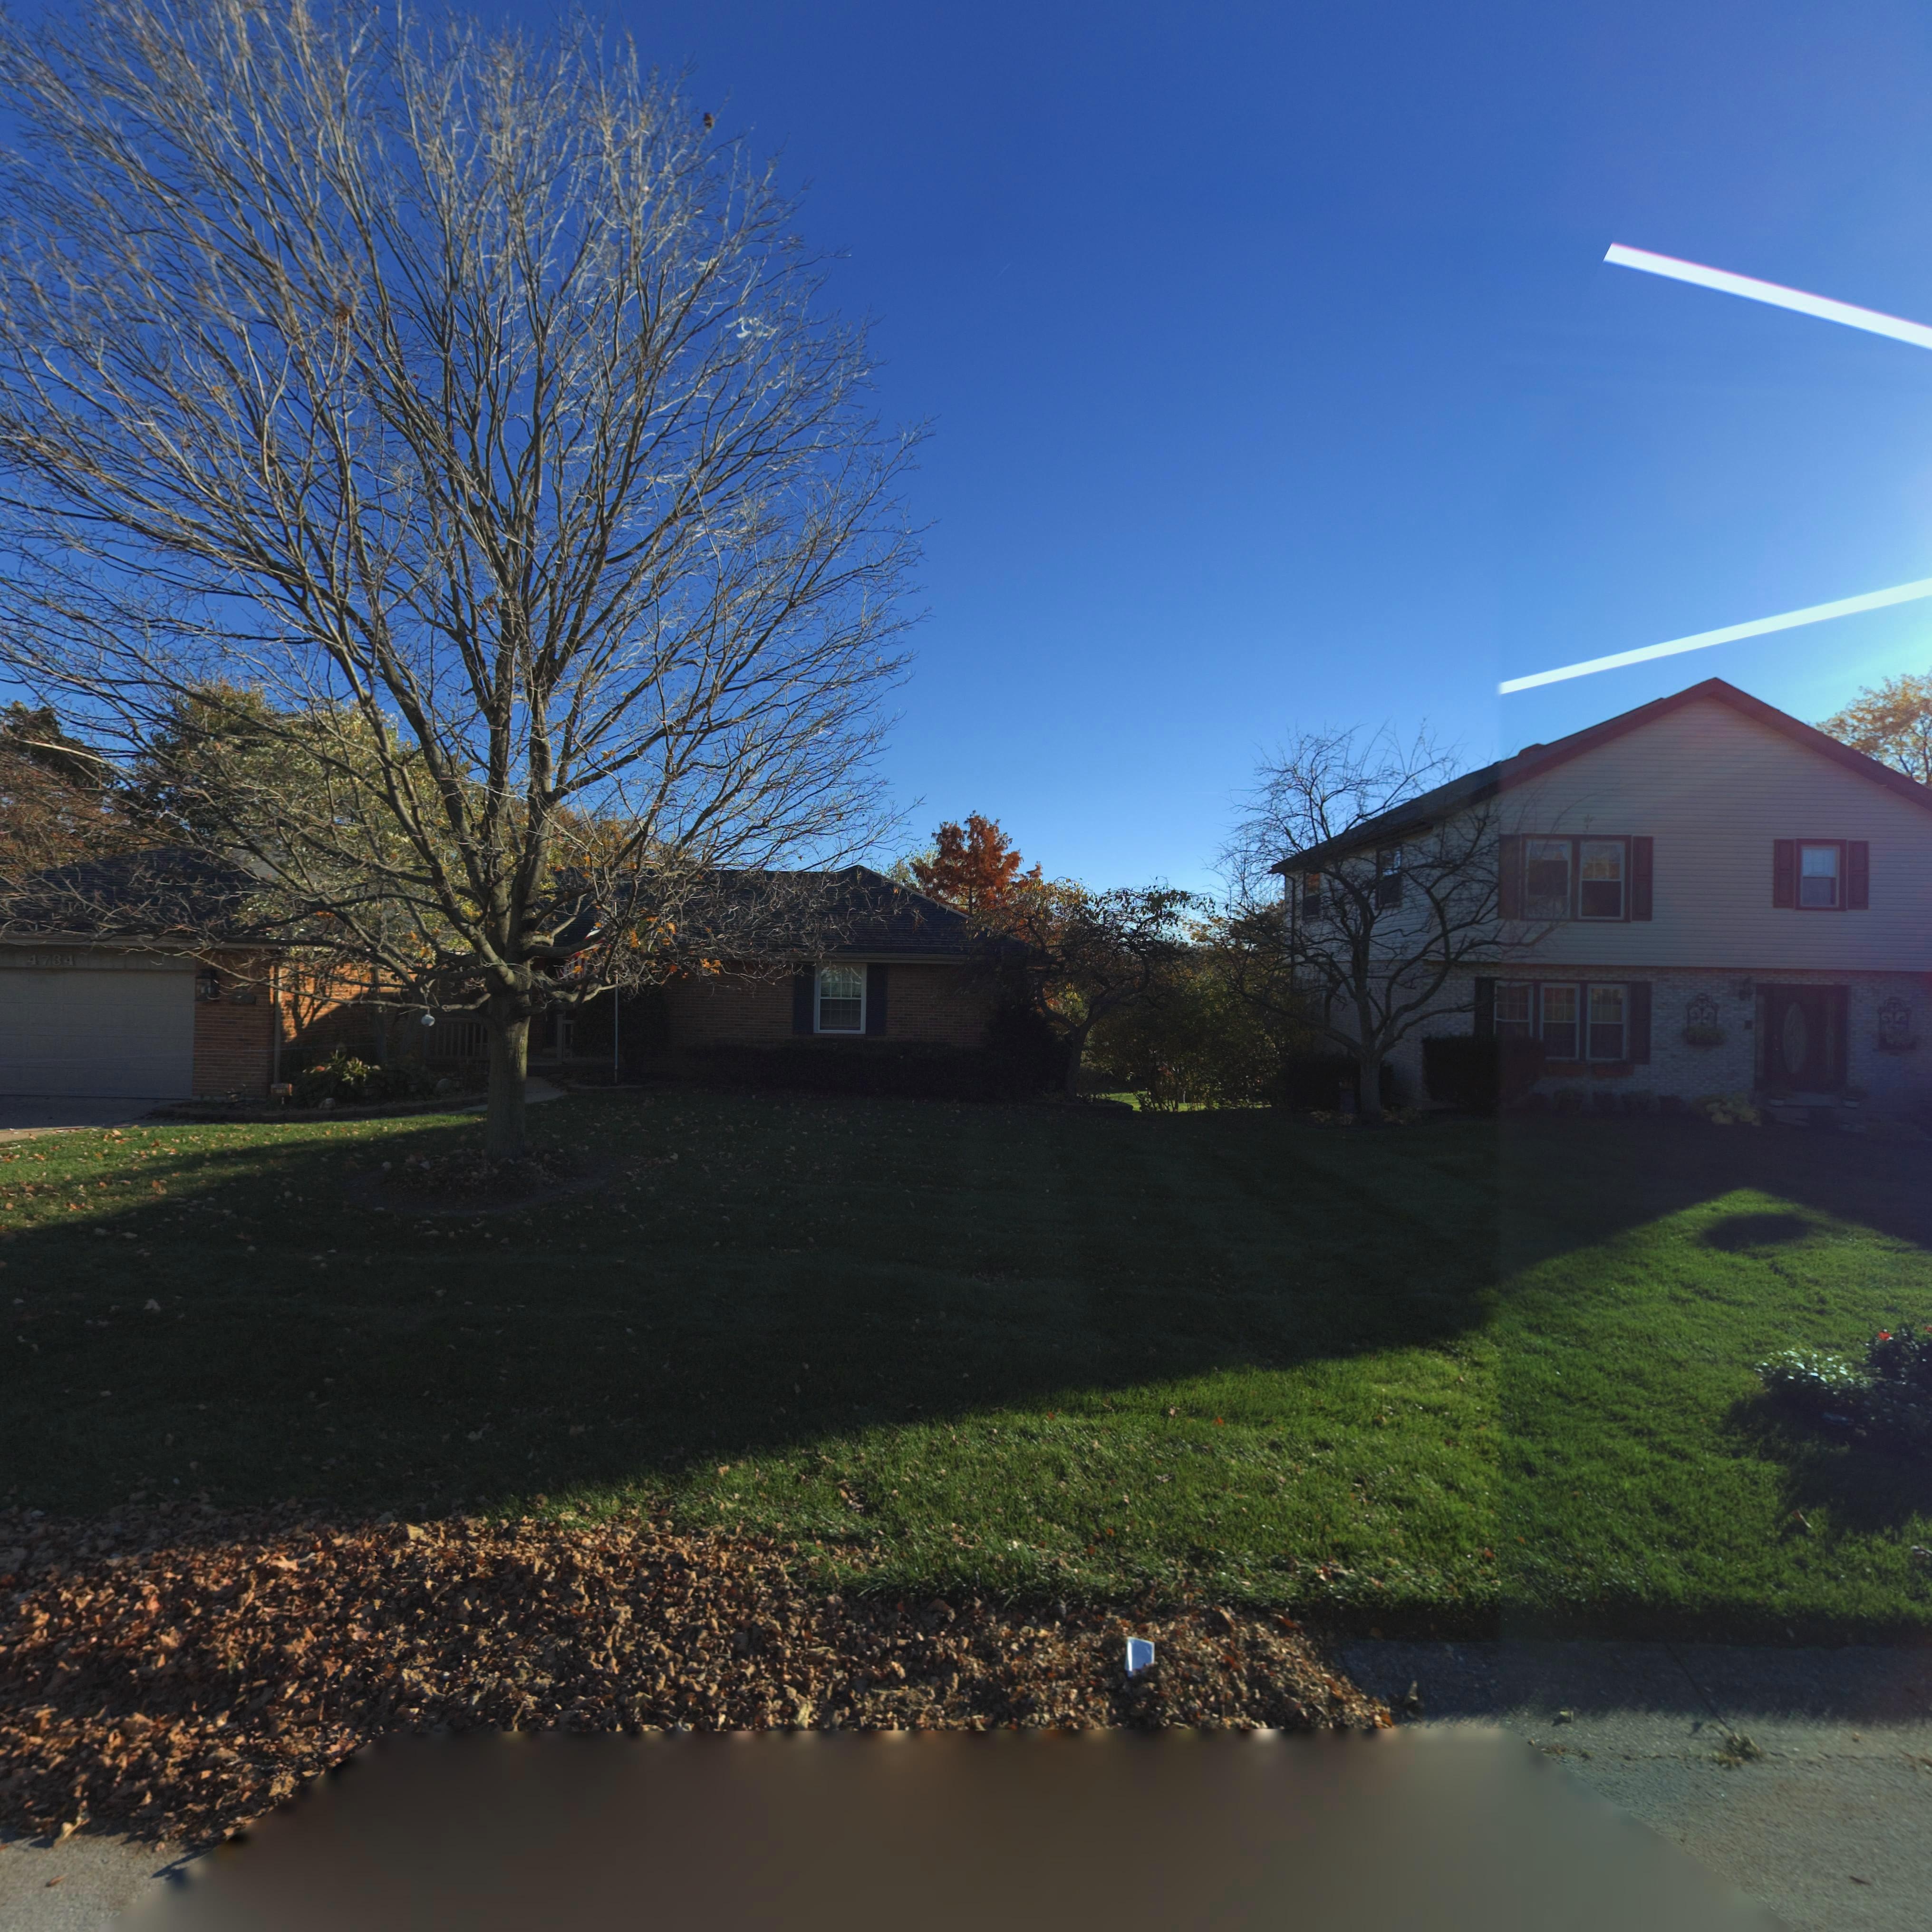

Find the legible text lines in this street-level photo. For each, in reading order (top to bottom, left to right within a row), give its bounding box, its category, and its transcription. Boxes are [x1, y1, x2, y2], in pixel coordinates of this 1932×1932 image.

[26, 953, 75, 966] StreetNumber: 4734